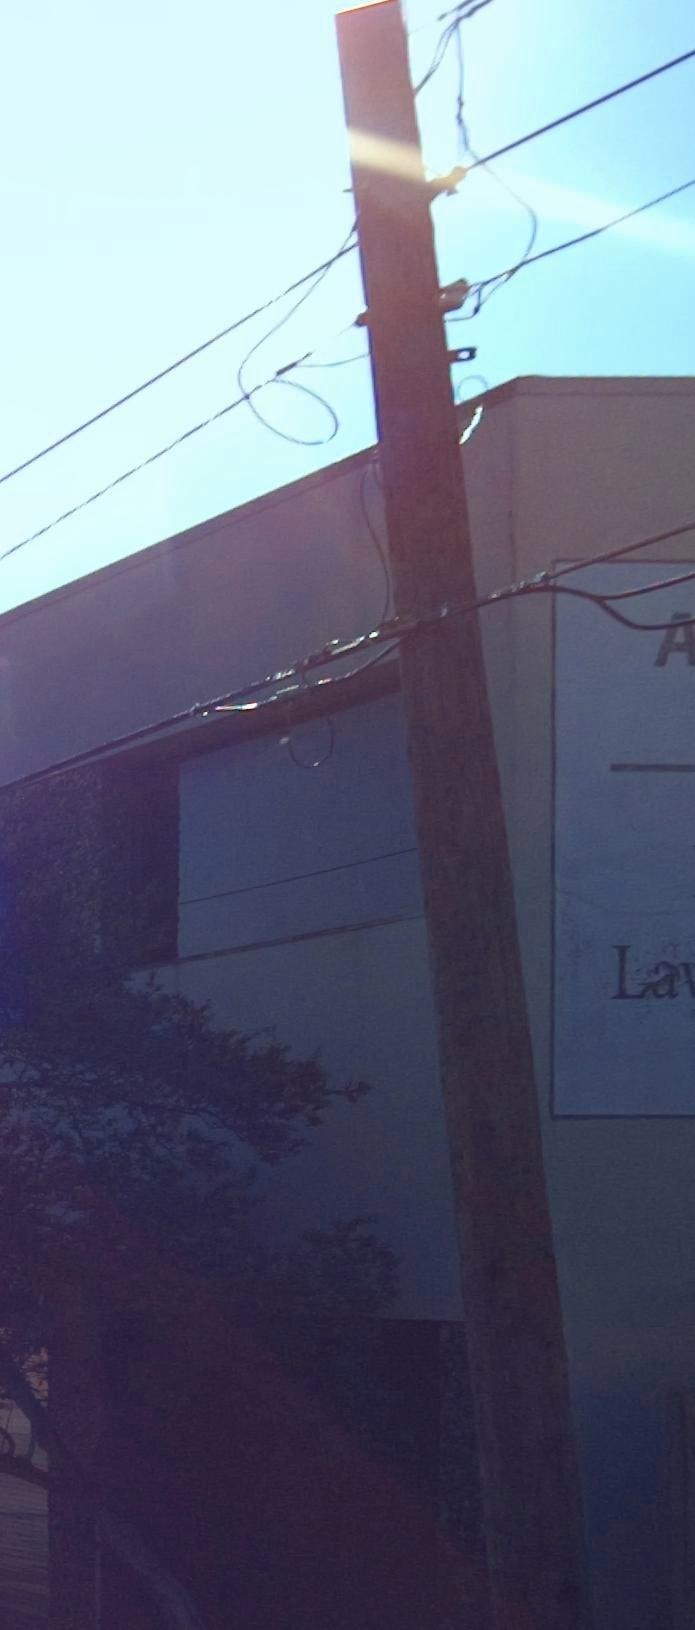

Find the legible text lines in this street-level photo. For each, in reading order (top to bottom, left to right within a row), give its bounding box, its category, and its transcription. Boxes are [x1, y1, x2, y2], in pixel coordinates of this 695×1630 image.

[608, 942, 682, 1004] None: La